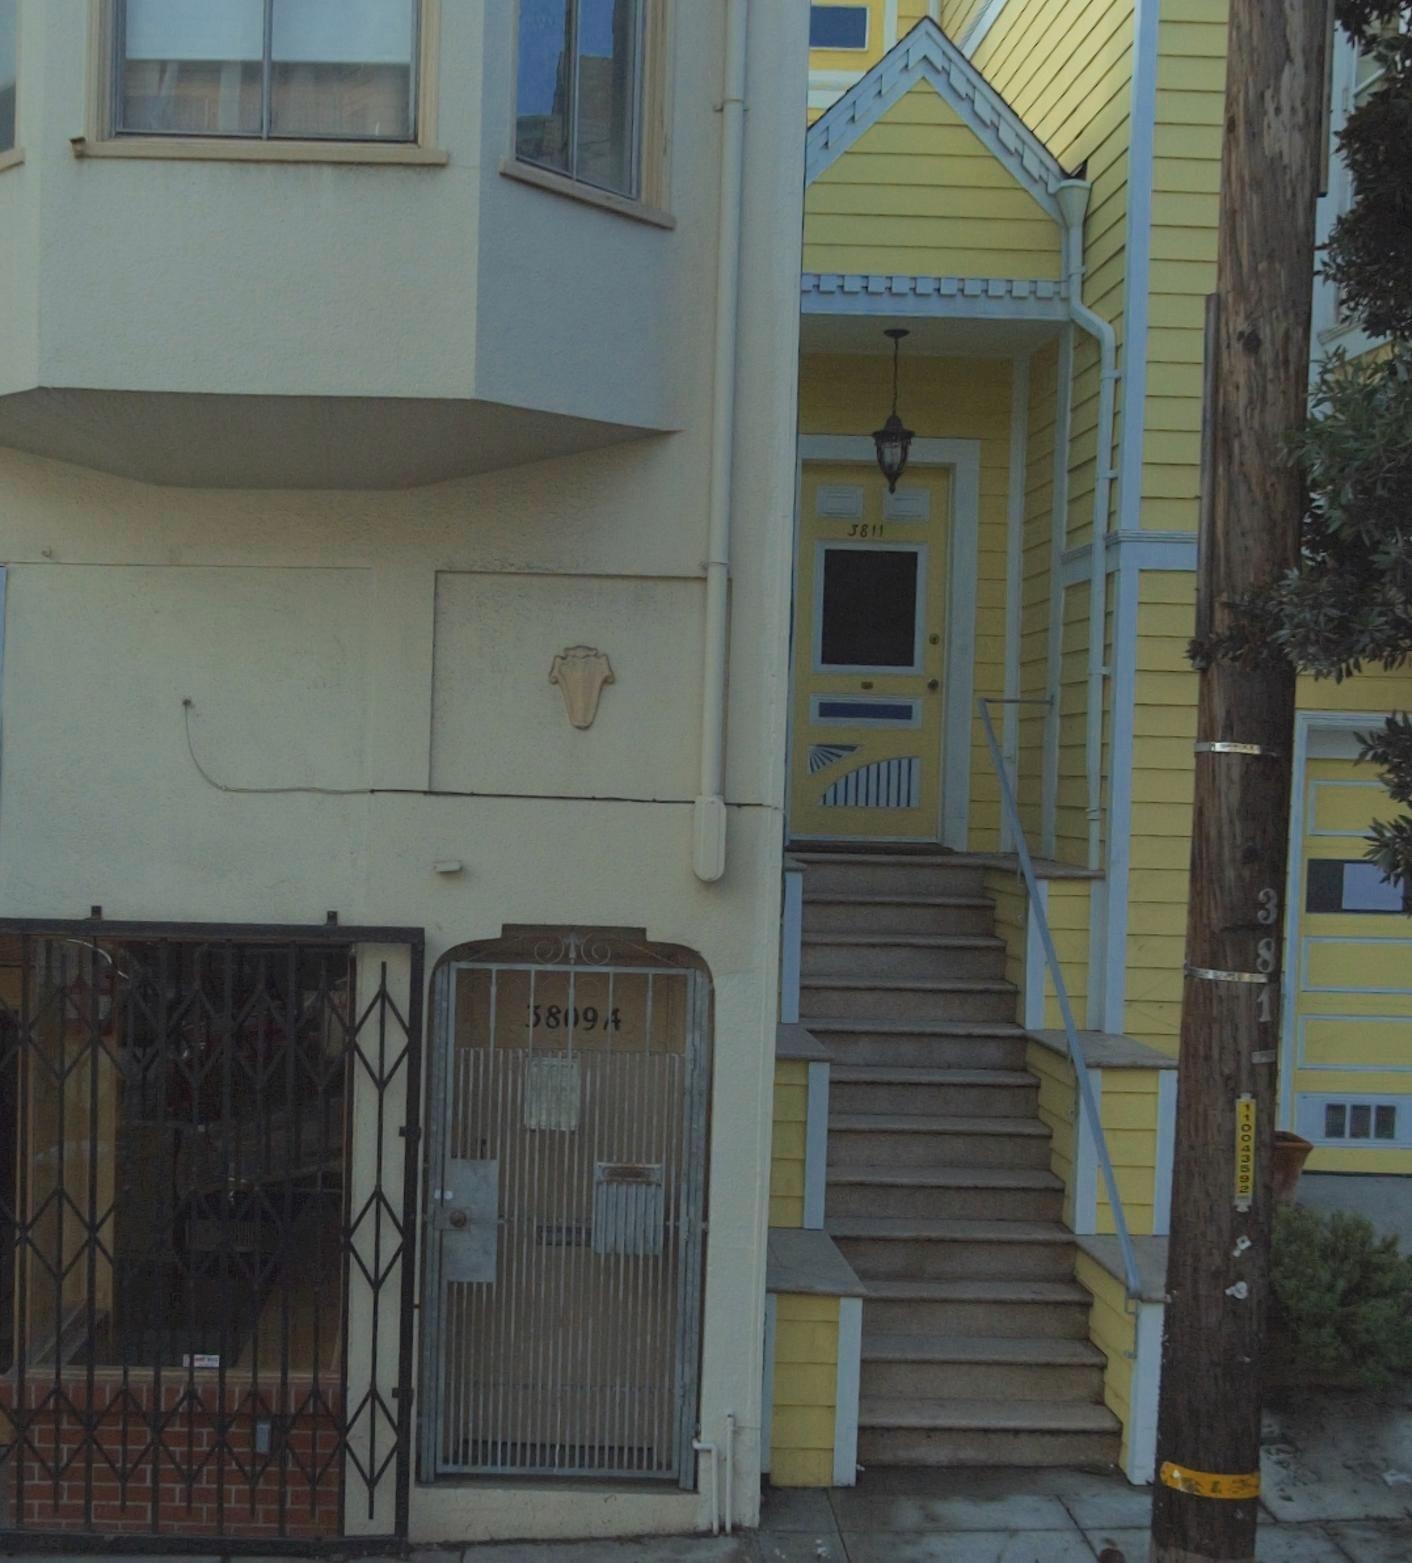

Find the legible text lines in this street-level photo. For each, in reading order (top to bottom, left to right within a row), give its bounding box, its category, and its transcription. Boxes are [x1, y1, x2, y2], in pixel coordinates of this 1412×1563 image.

[847, 523, 886, 539] StreetNumber: 3811
[1249, 886, 1281, 1023] None: 381
[520, 1002, 626, 1032] StreetNumber: 3809A
[1239, 1102, 1252, 1192] None: 110043592